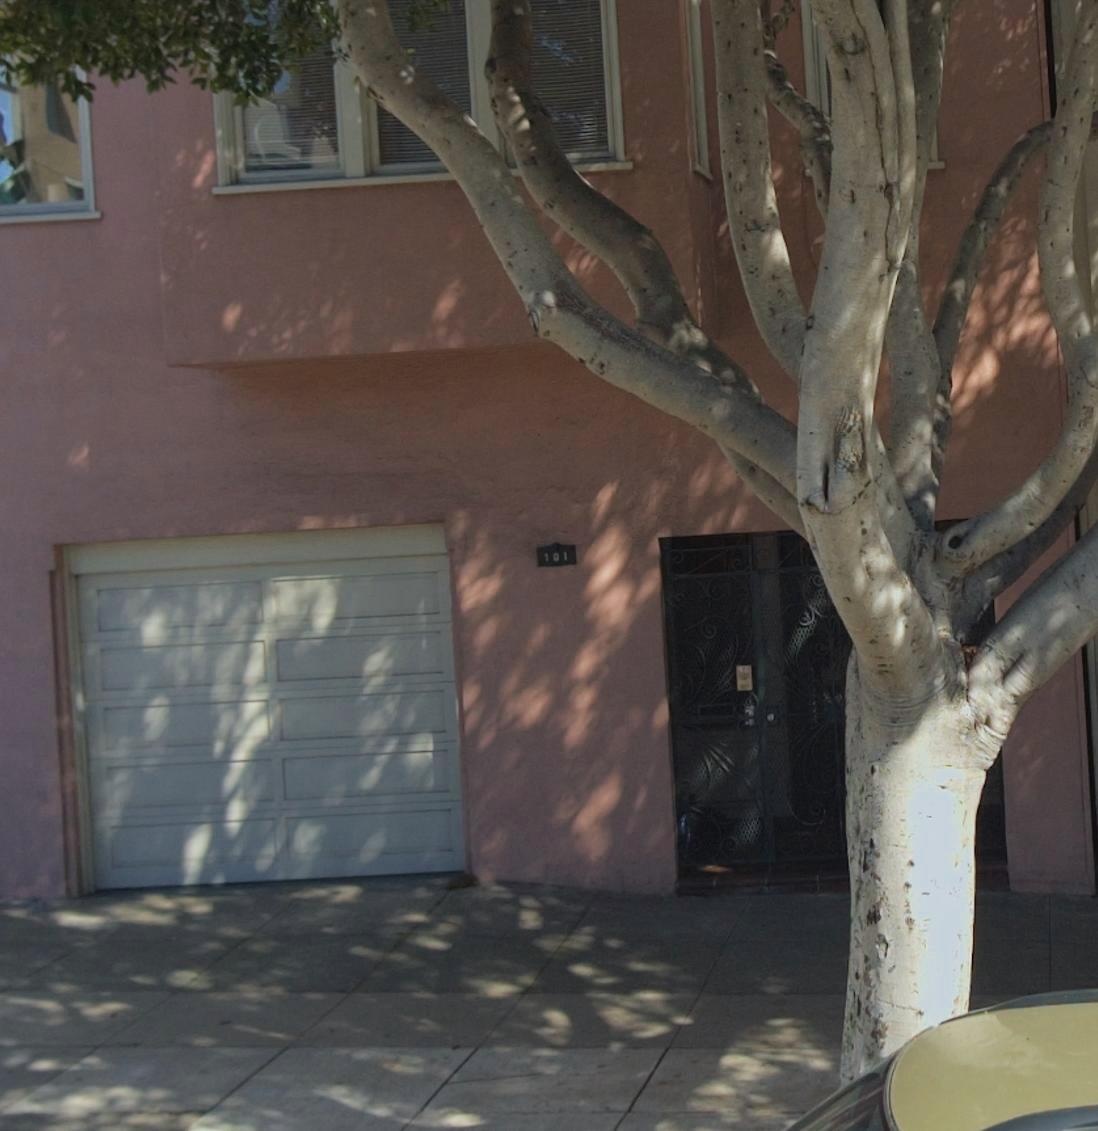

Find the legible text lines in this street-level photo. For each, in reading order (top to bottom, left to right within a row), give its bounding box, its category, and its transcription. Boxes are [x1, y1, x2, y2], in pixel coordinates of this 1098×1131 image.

[542, 549, 569, 564] StreetNumber: 101